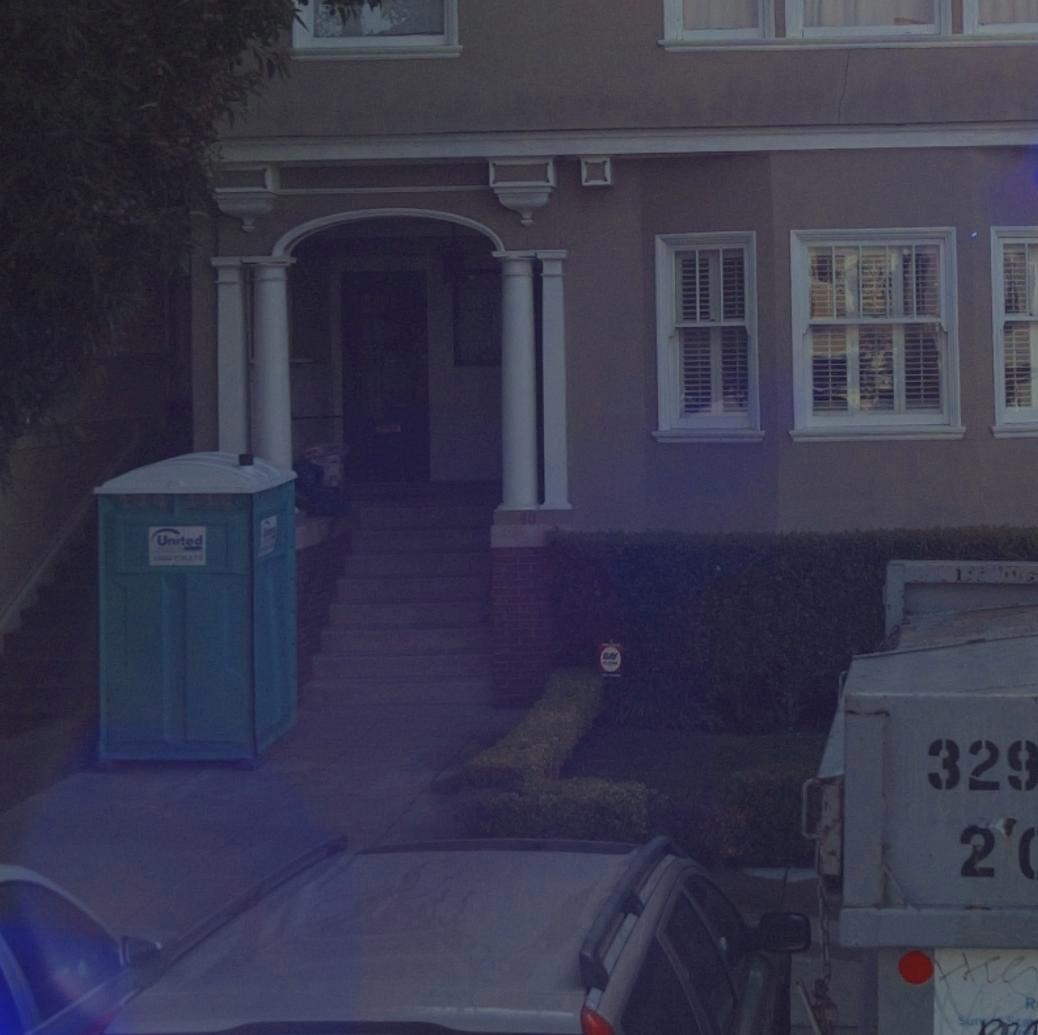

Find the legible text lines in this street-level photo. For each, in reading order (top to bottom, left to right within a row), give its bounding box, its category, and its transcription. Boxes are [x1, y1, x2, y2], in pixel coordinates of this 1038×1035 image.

[155, 533, 204, 548] None: Un*ted
[517, 509, 538, 527] StreetNumber: 40
[925, 736, 1038, 793] None: 329
[957, 823, 998, 879] None: 2